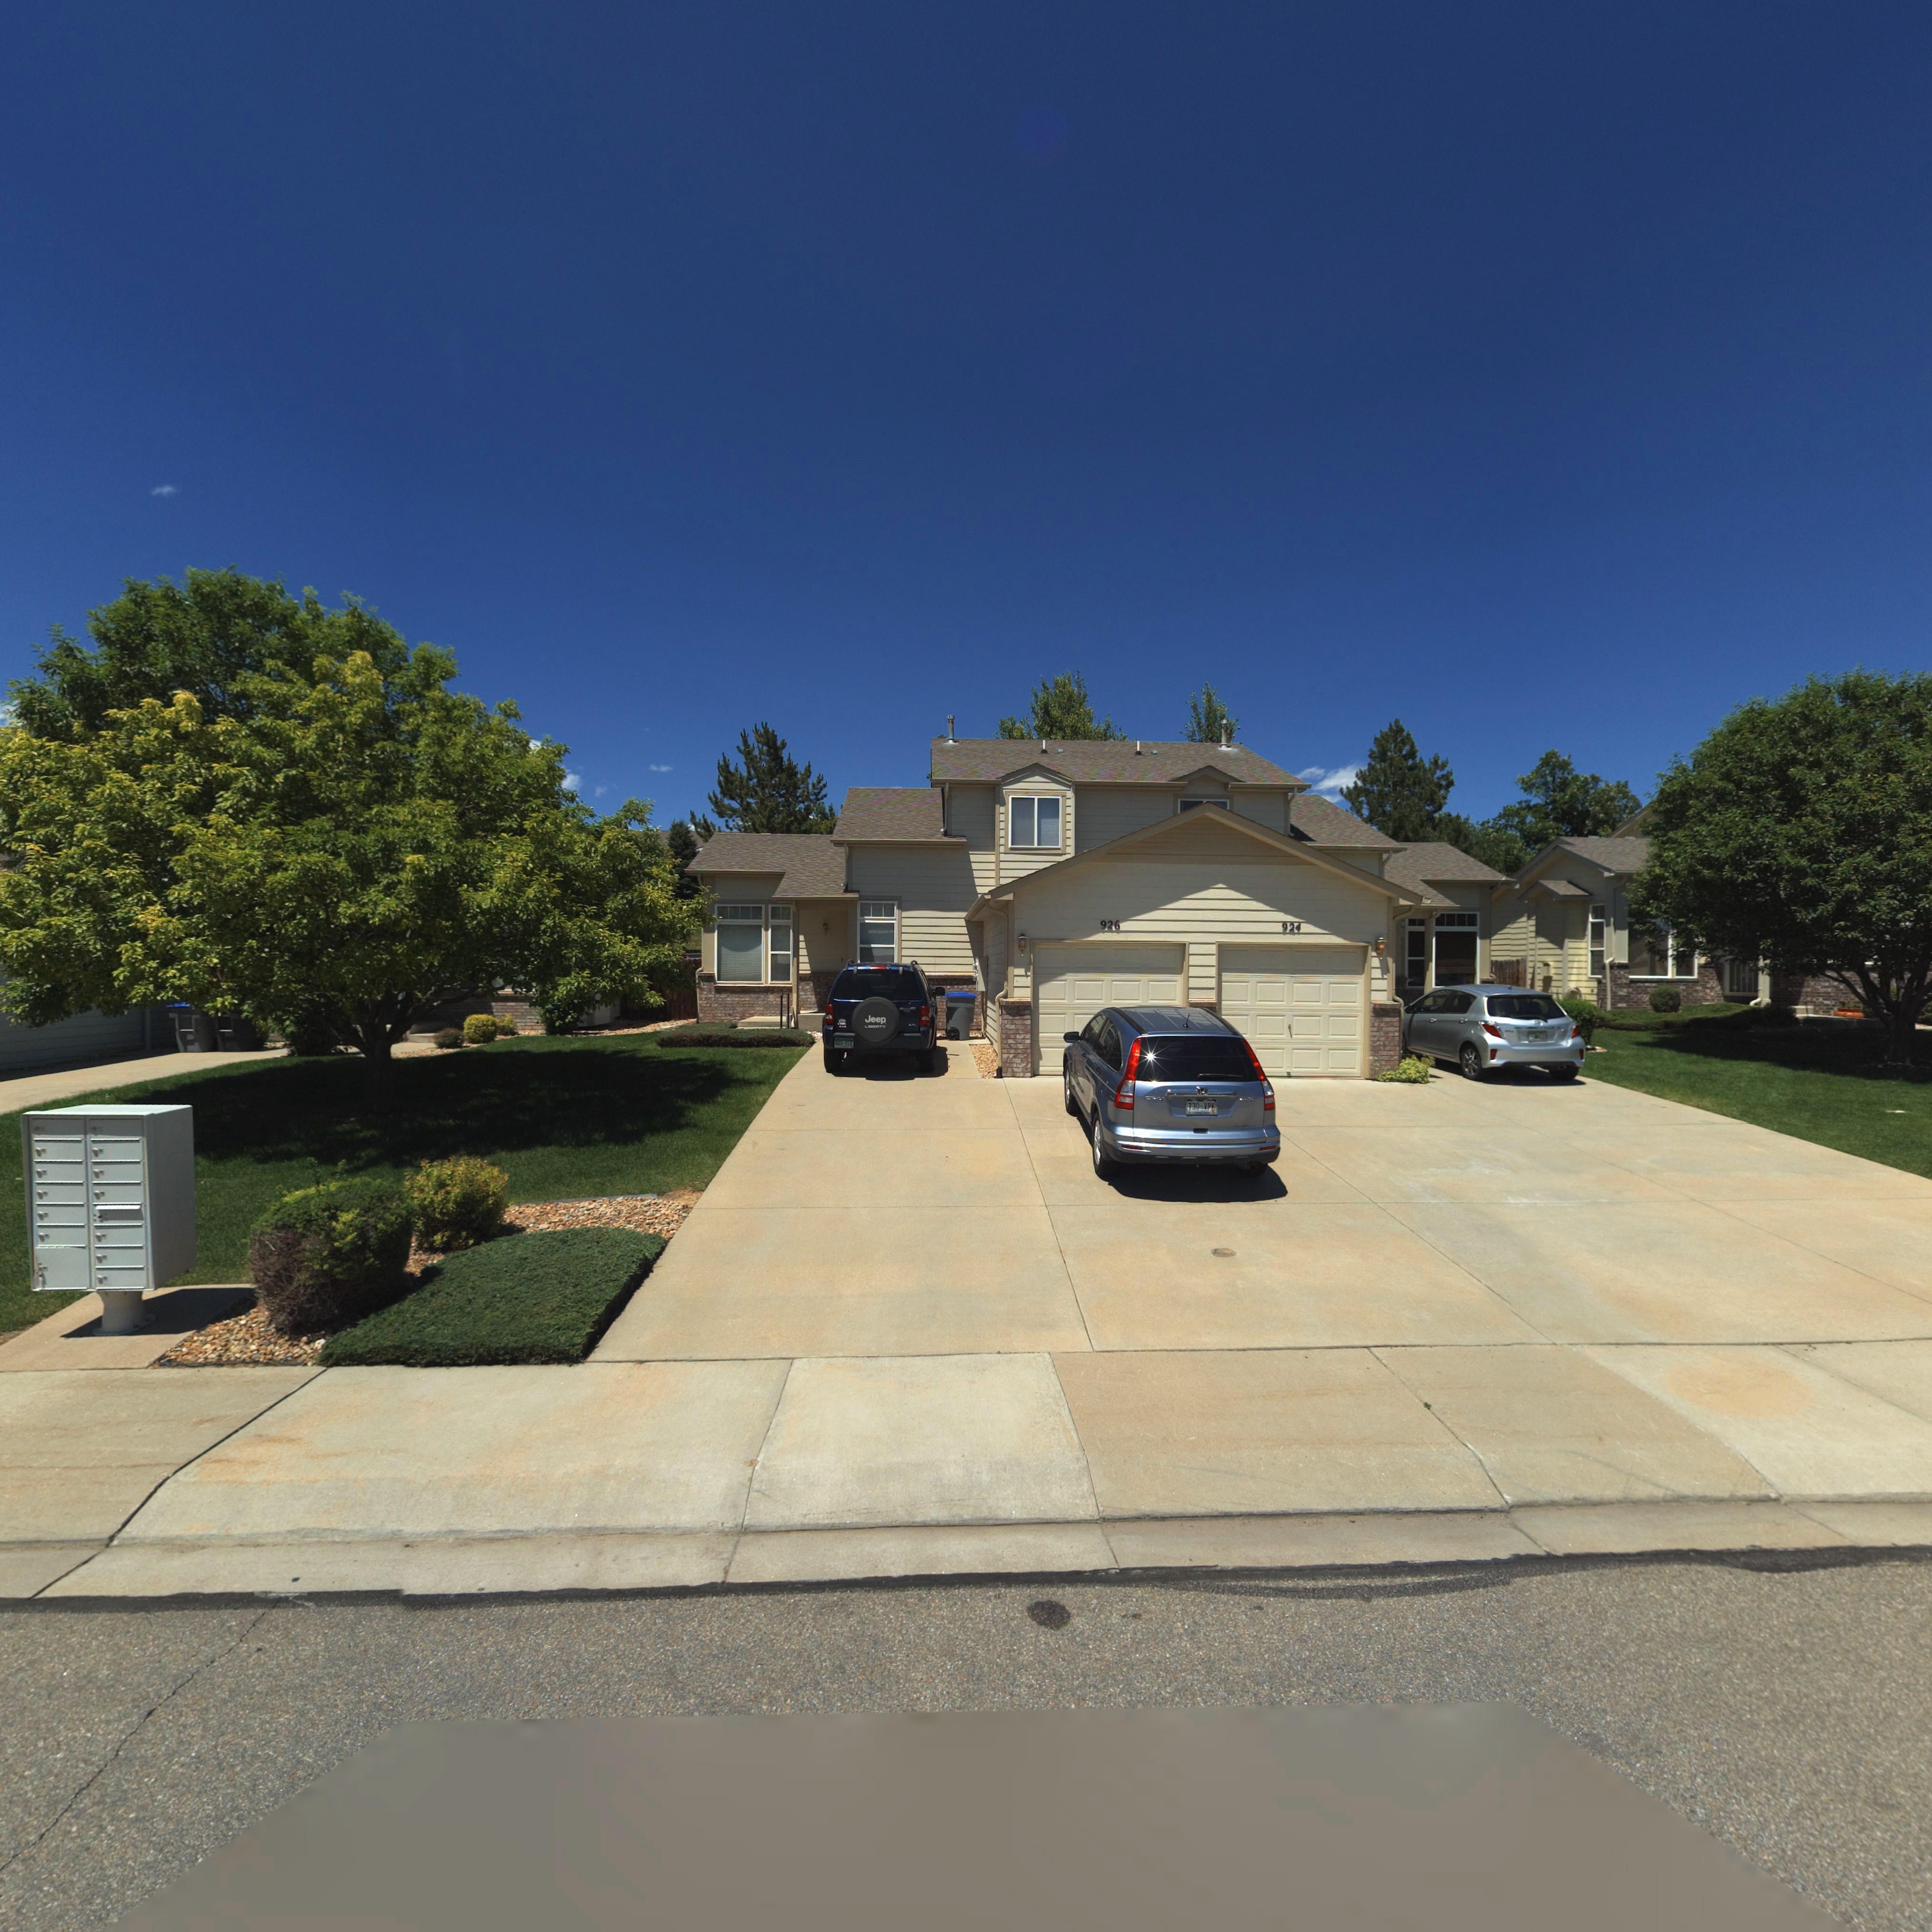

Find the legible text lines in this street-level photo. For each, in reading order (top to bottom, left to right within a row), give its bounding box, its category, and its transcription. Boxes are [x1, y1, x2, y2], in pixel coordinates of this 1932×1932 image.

[1100, 919, 1121, 930] StreetNumber: 926
[1282, 921, 1301, 932] StreetNumber: 924